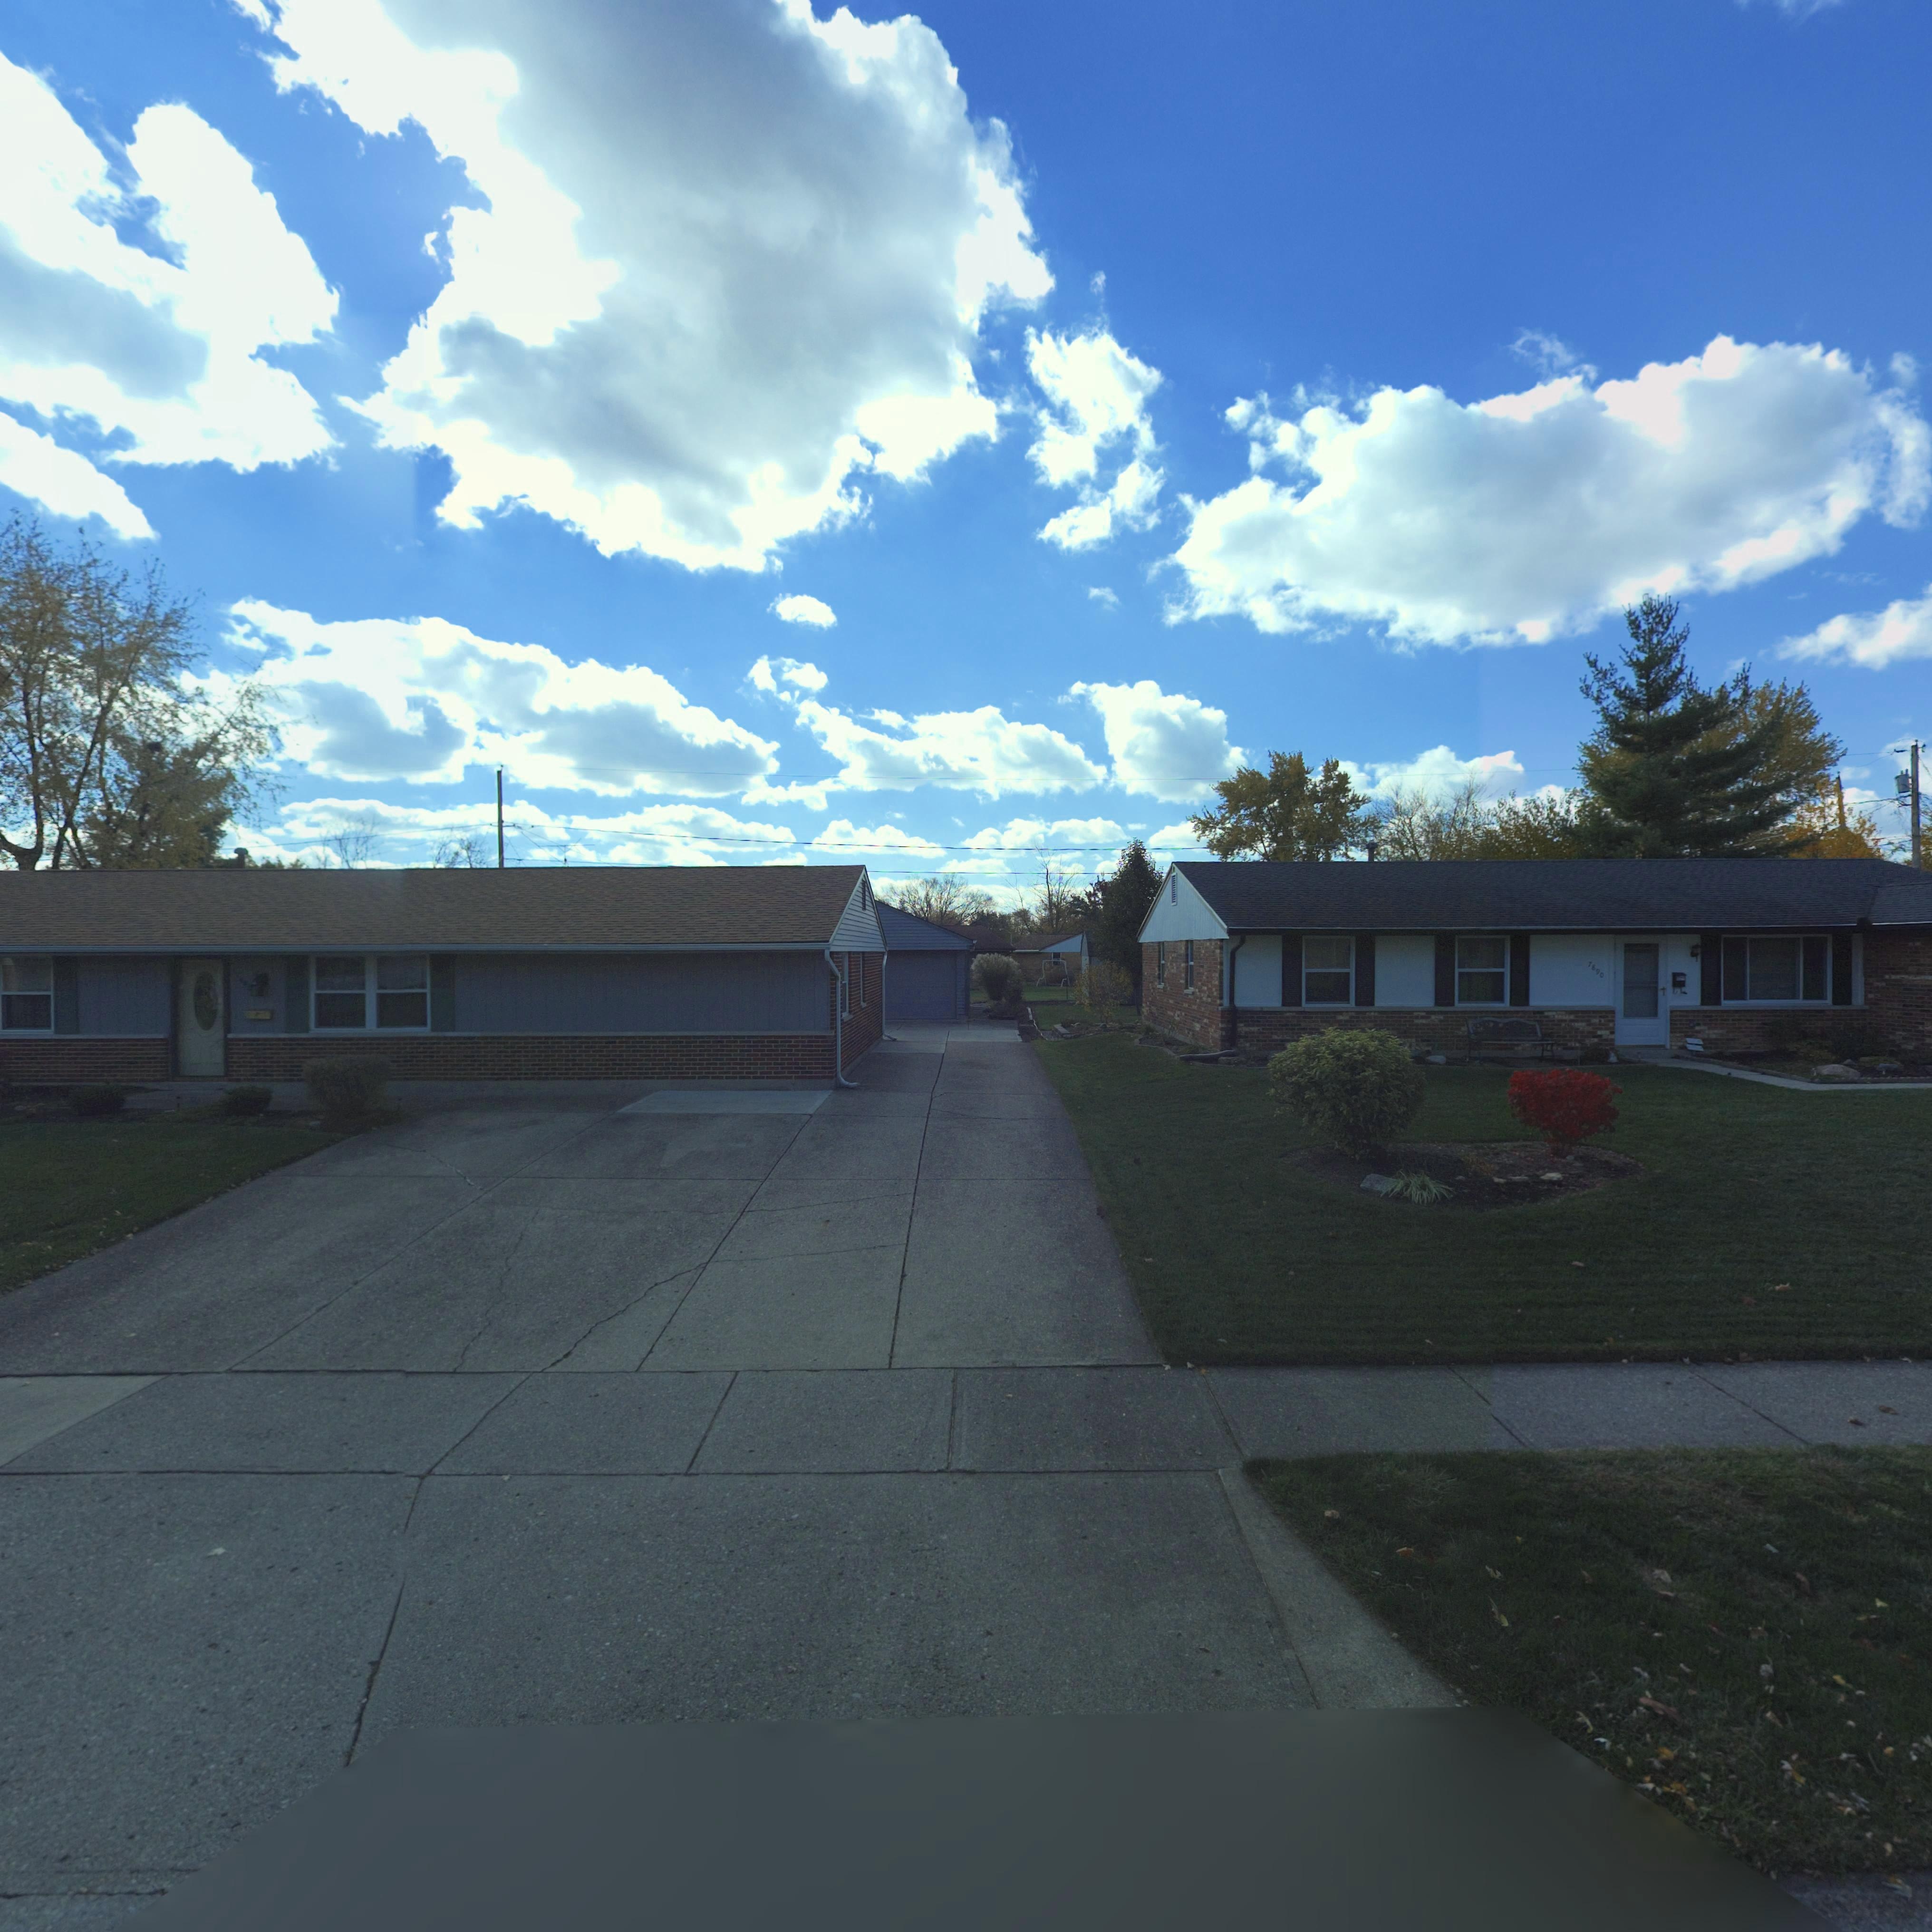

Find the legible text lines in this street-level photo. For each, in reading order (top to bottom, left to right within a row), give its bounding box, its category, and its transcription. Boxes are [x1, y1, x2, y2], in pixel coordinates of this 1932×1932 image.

[1587, 961, 1604, 979] StreetNumber: 7890
[234, 971, 249, 988] StreetNumber: 78*